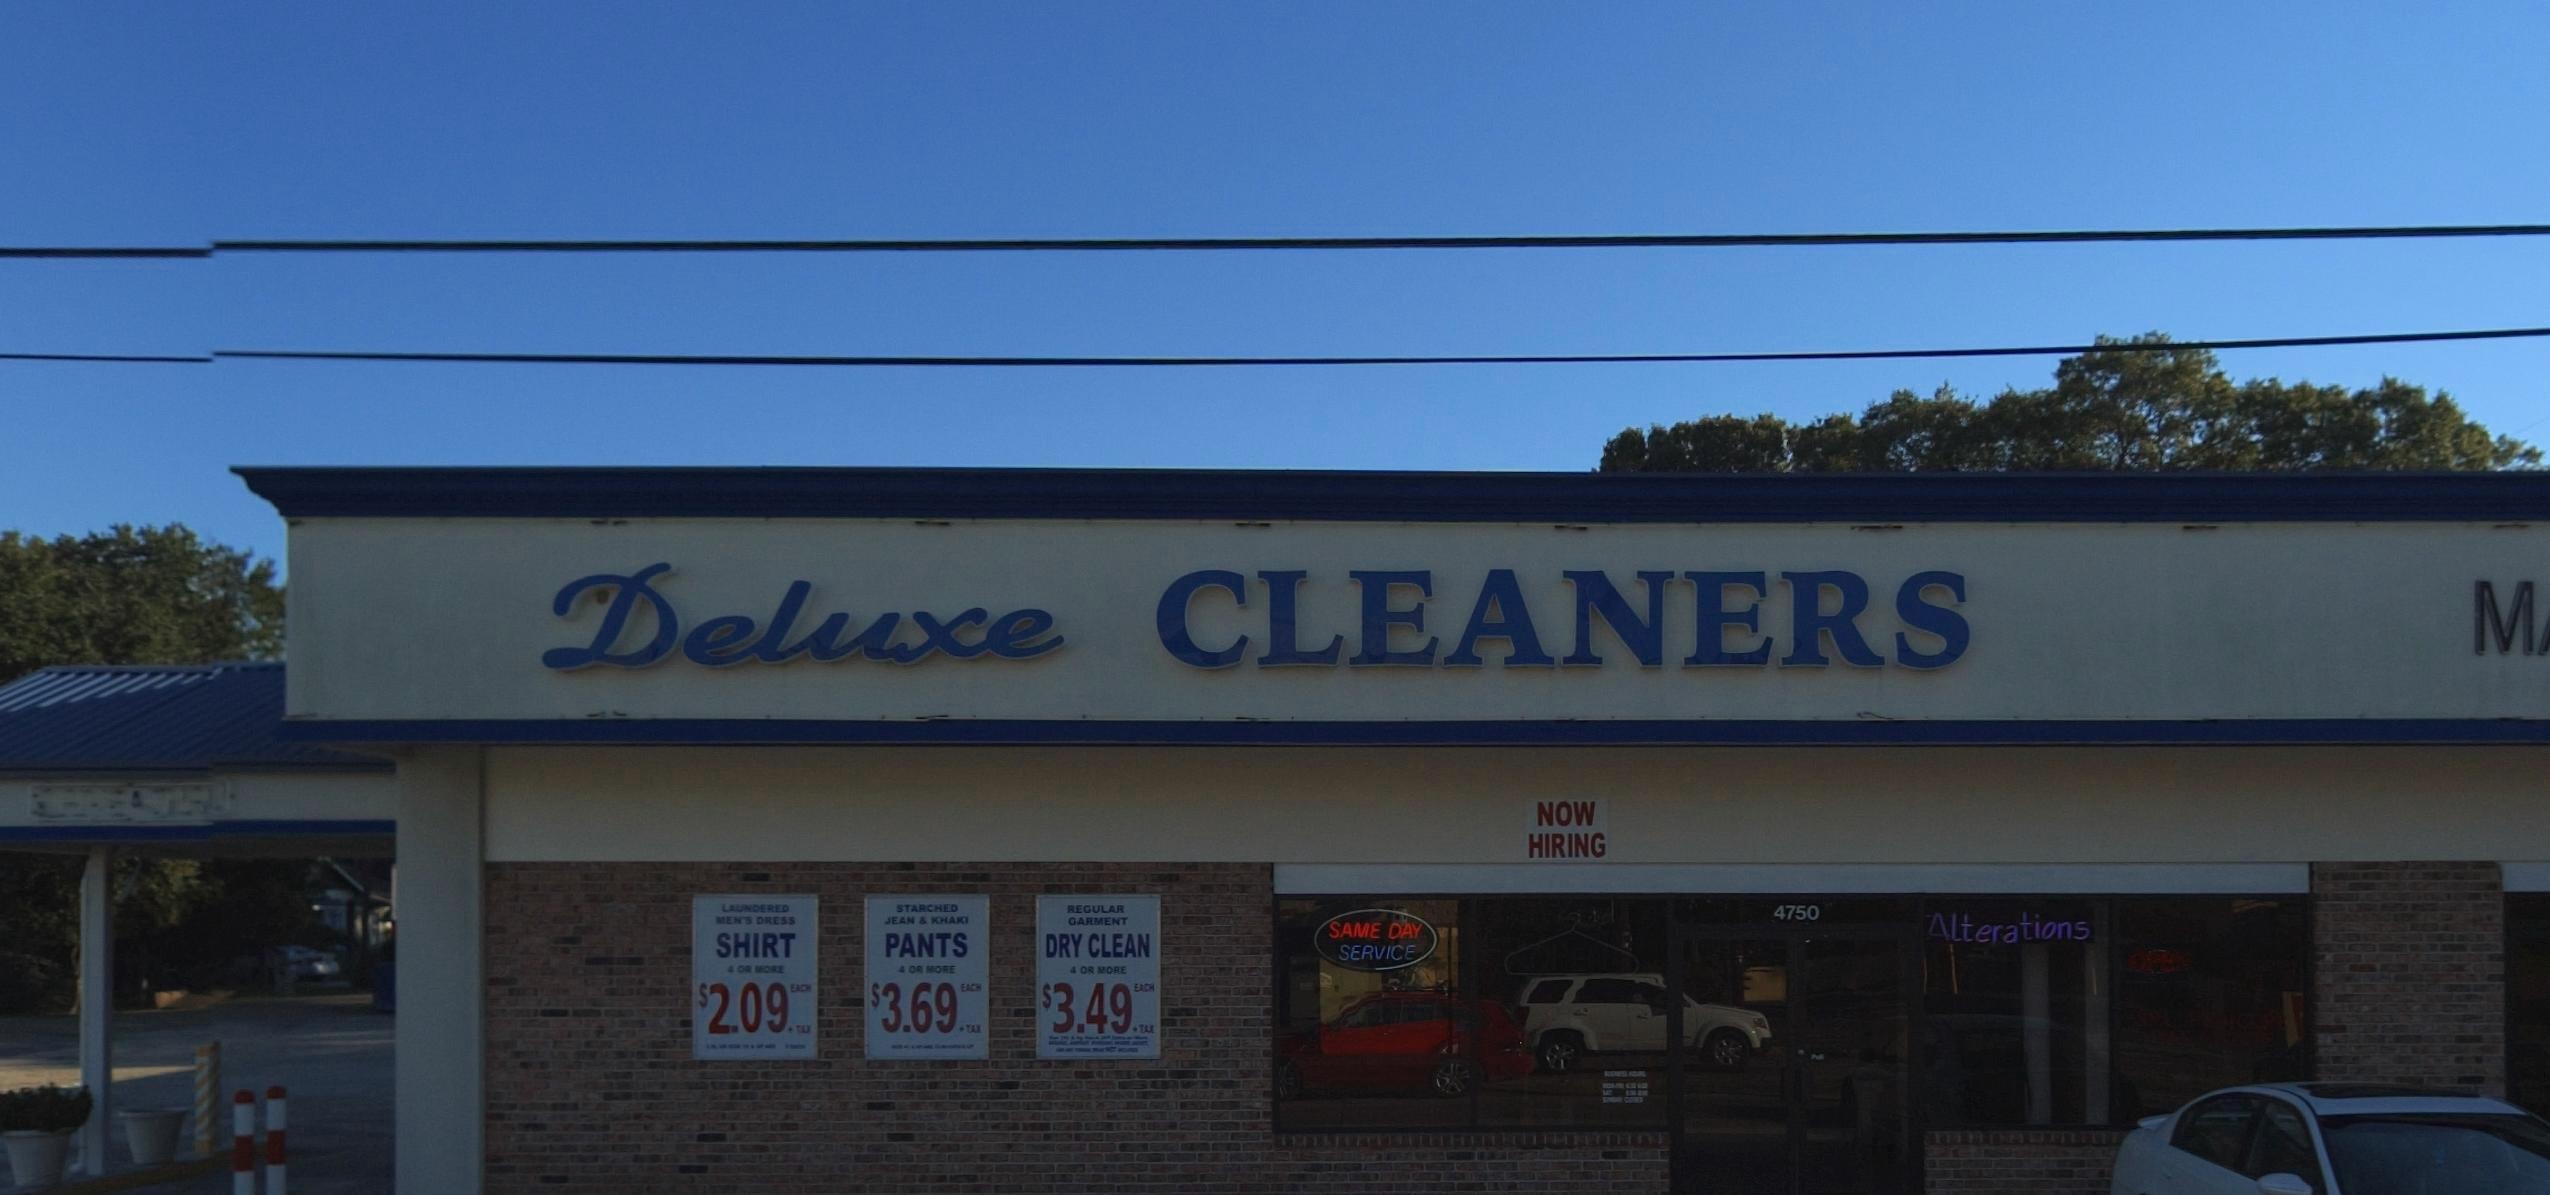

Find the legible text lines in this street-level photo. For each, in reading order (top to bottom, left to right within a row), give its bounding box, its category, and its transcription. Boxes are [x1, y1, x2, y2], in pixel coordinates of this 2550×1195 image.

[536, 563, 1973, 675] BusinessName: Deluxe CLEANERS
[2471, 579, 2538, 656] None: M
[1537, 798, 1598, 827] None: NOW
[1528, 830, 1608, 859] None: HIRING
[720, 902, 791, 914] None: LAUNDERED
[714, 915, 798, 925] None: MEN'S DRESS
[883, 914, 970, 926] None: JEAN & KHAKI
[895, 902, 960, 913] None: STARCHED
[1065, 903, 1127, 915] None: REGULAR
[1064, 915, 1129, 926] None: GARMENT
[1328, 921, 1423, 940] None: SAME DAY
[1772, 904, 1820, 921] StreetNumber: 4750
[1923, 908, 2092, 947] None: Aleterations
[715, 931, 797, 960] None: SHIRT
[884, 930, 969, 959] None: PANTS
[1045, 931, 1151, 960] None: DRY CLEAN
[1336, 942, 1417, 962] None: SERVICE
[727, 963, 786, 975] None: 4 OR MORE
[898, 964, 957, 976] None: 4 OR MORE
[1069, 964, 1129, 975] None: 4 OR MORE
[2128, 950, 2177, 976] None: OPE\
[789, 982, 813, 994] None: EACH
[960, 983, 983, 994] None: EACH
[1133, 982, 1156, 992] None: EACH
[708, 981, 790, 1035] None: 2.09
[880, 981, 958, 1035] None: 3.69
[1046, 981, 1132, 1037] None: 3.49
[787, 1024, 814, 1036] None: +TAX
[957, 1023, 983, 1035] None: +TAX
[1133, 1023, 1156, 1035] None: +TAX